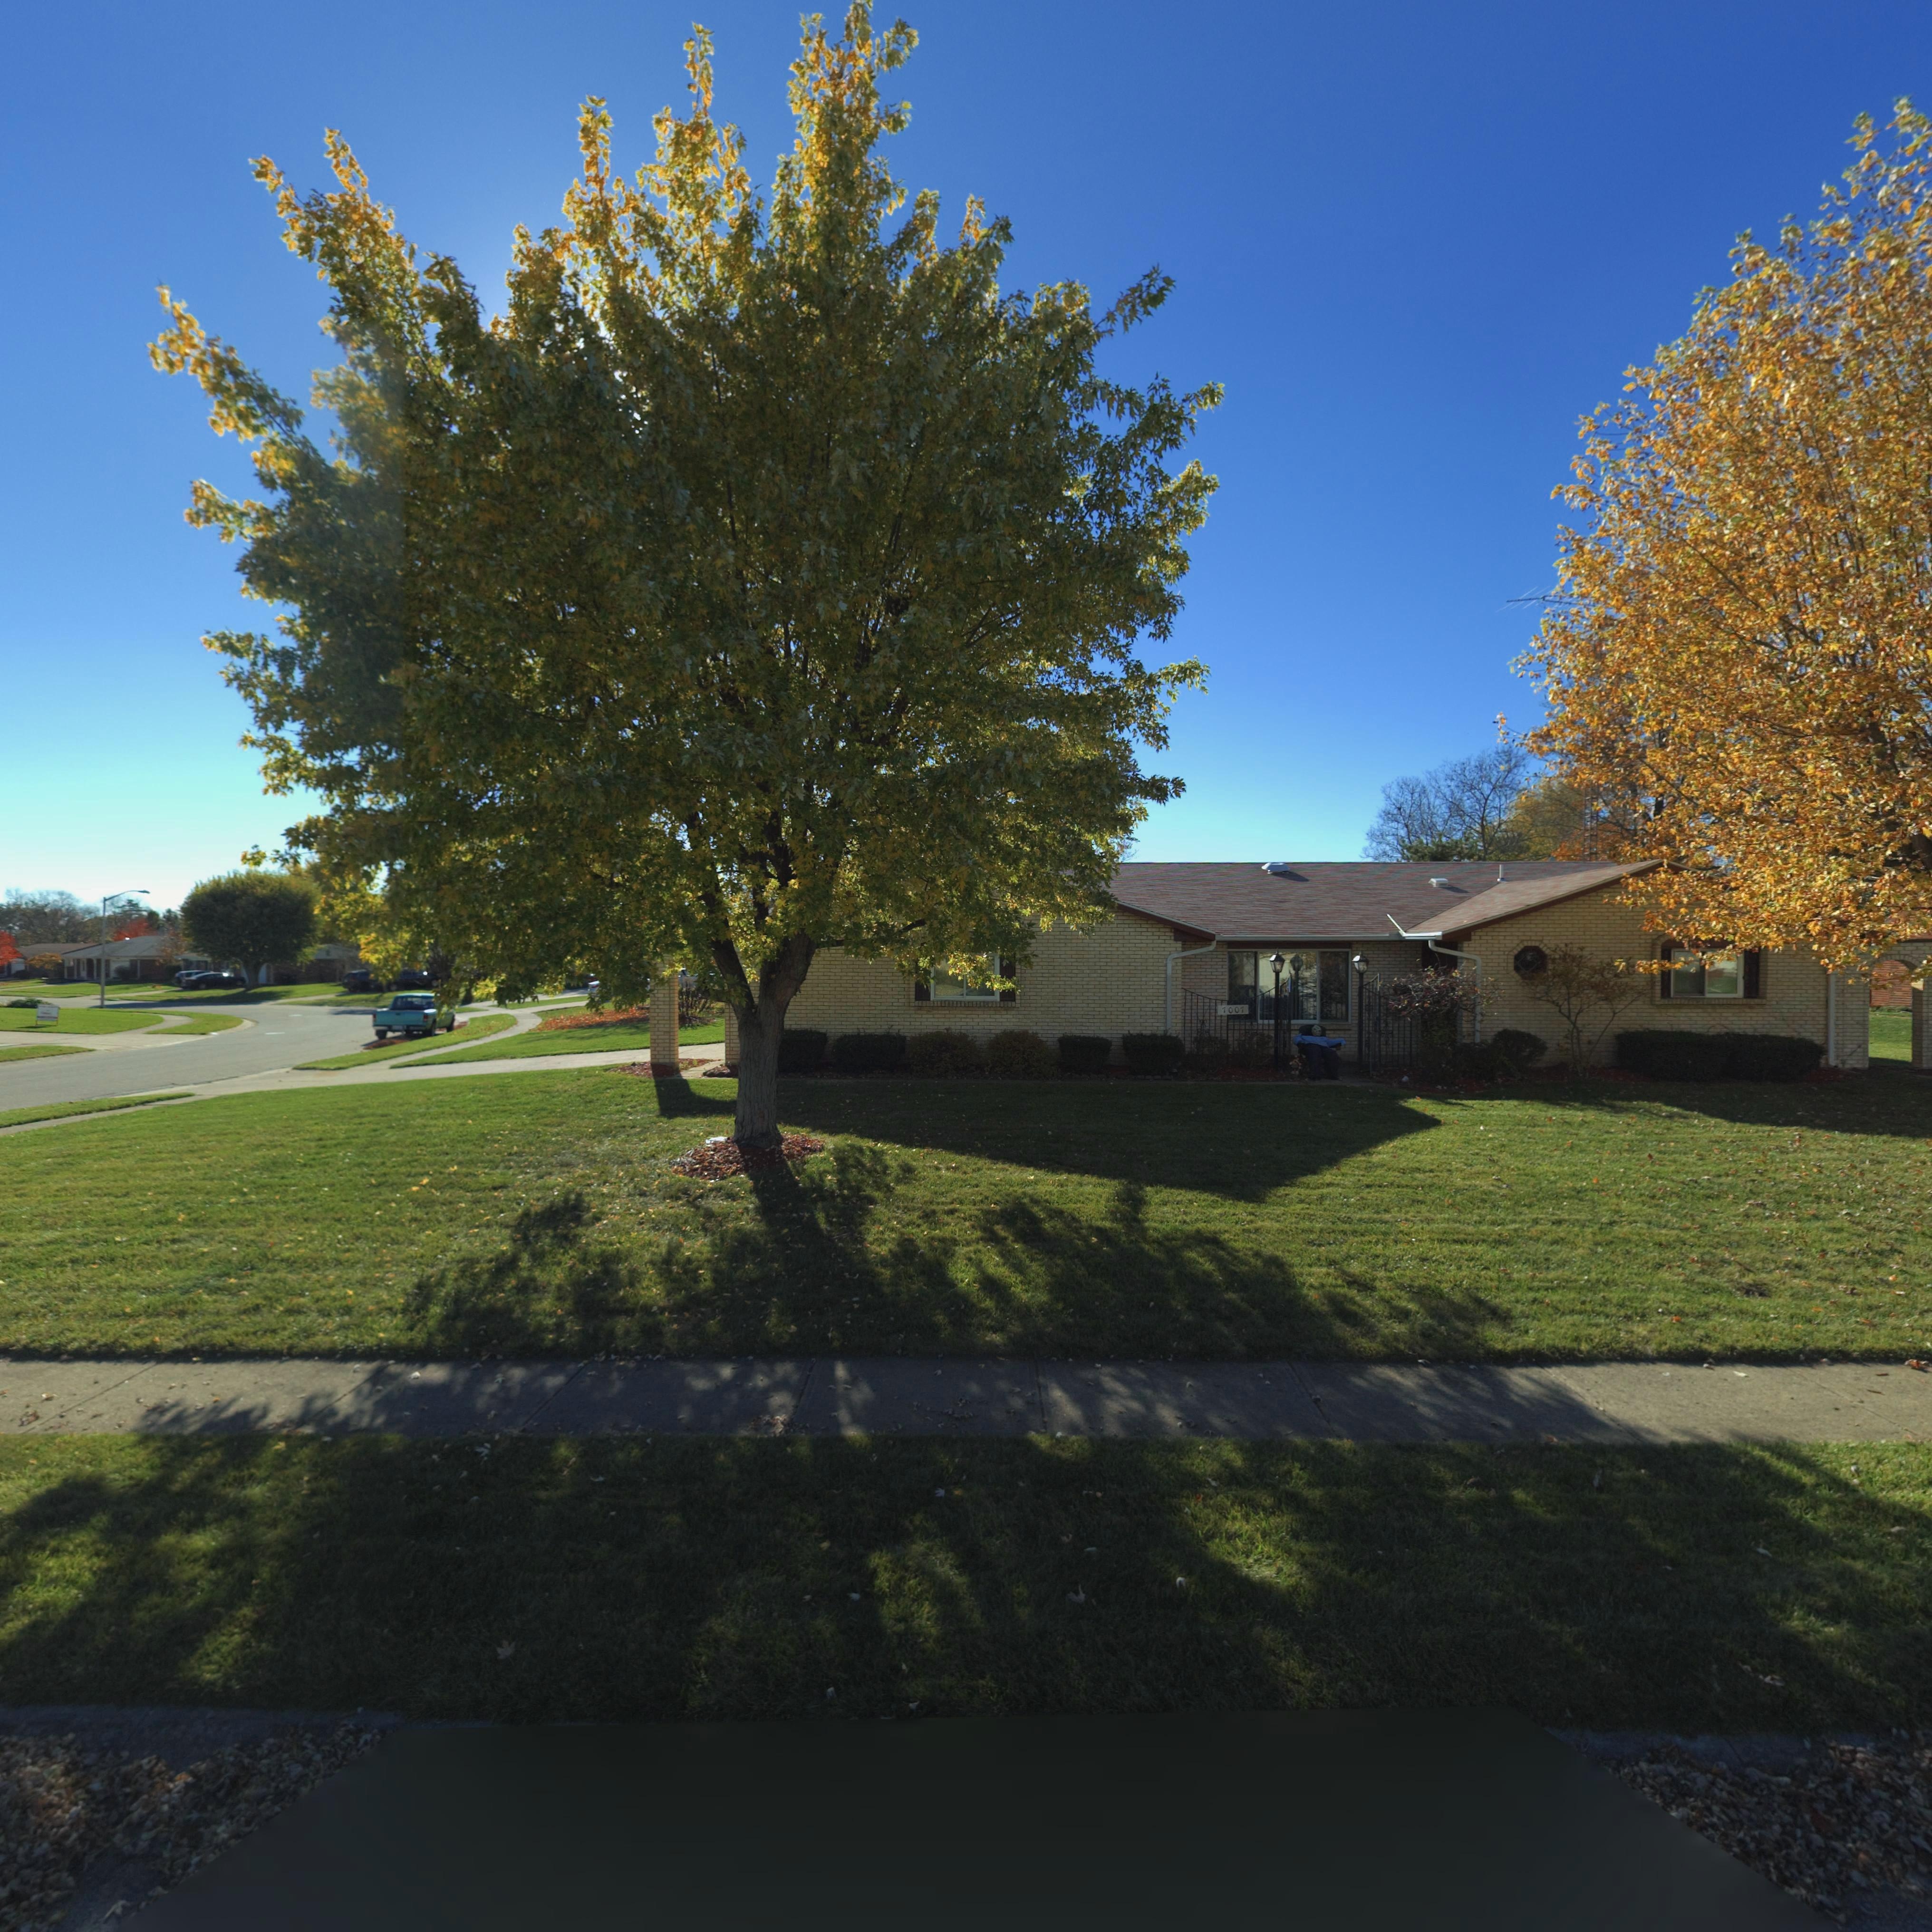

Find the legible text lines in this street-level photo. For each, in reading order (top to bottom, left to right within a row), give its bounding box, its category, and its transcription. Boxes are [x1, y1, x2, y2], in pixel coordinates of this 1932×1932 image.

[1221, 1005, 1244, 1014] StreetNumber: 7007